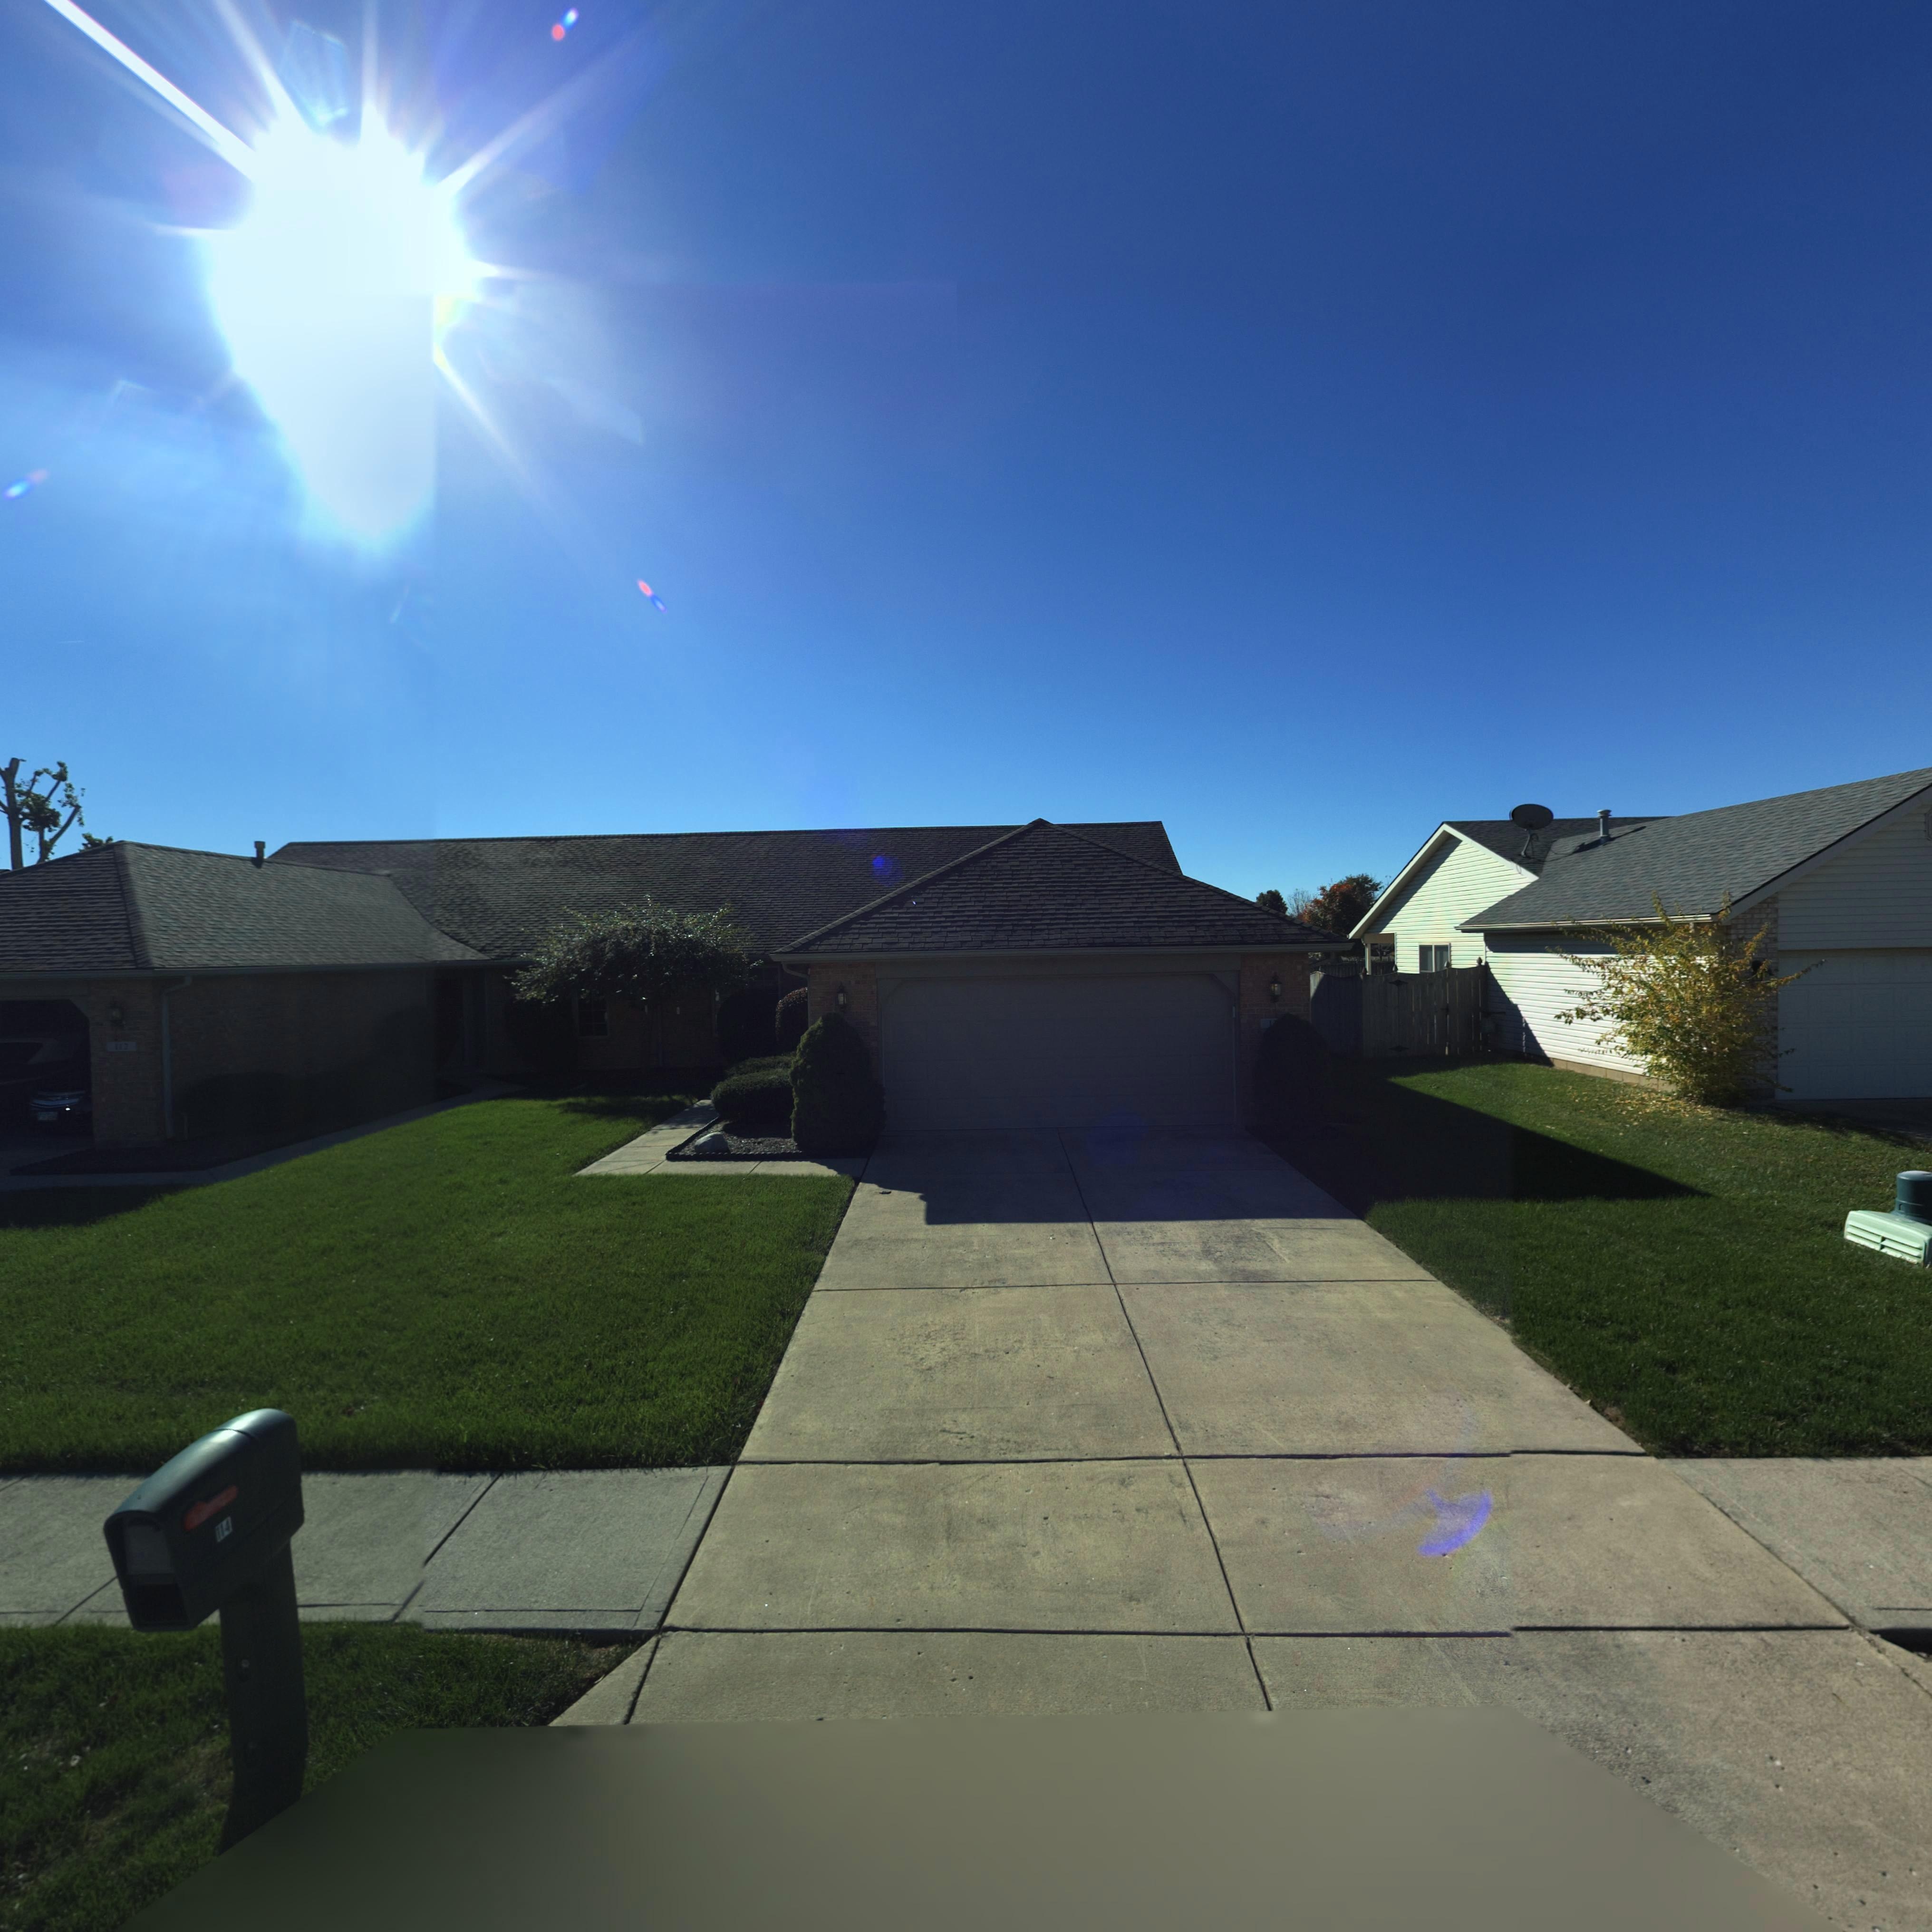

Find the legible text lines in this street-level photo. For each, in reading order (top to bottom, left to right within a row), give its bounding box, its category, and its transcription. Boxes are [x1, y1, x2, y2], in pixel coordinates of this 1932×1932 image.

[1268, 1019, 1272, 1028] StreetNumber: 1
[114, 1043, 129, 1051] StreetNumber: 112
[214, 1516, 232, 1542] StreetNumber: 114